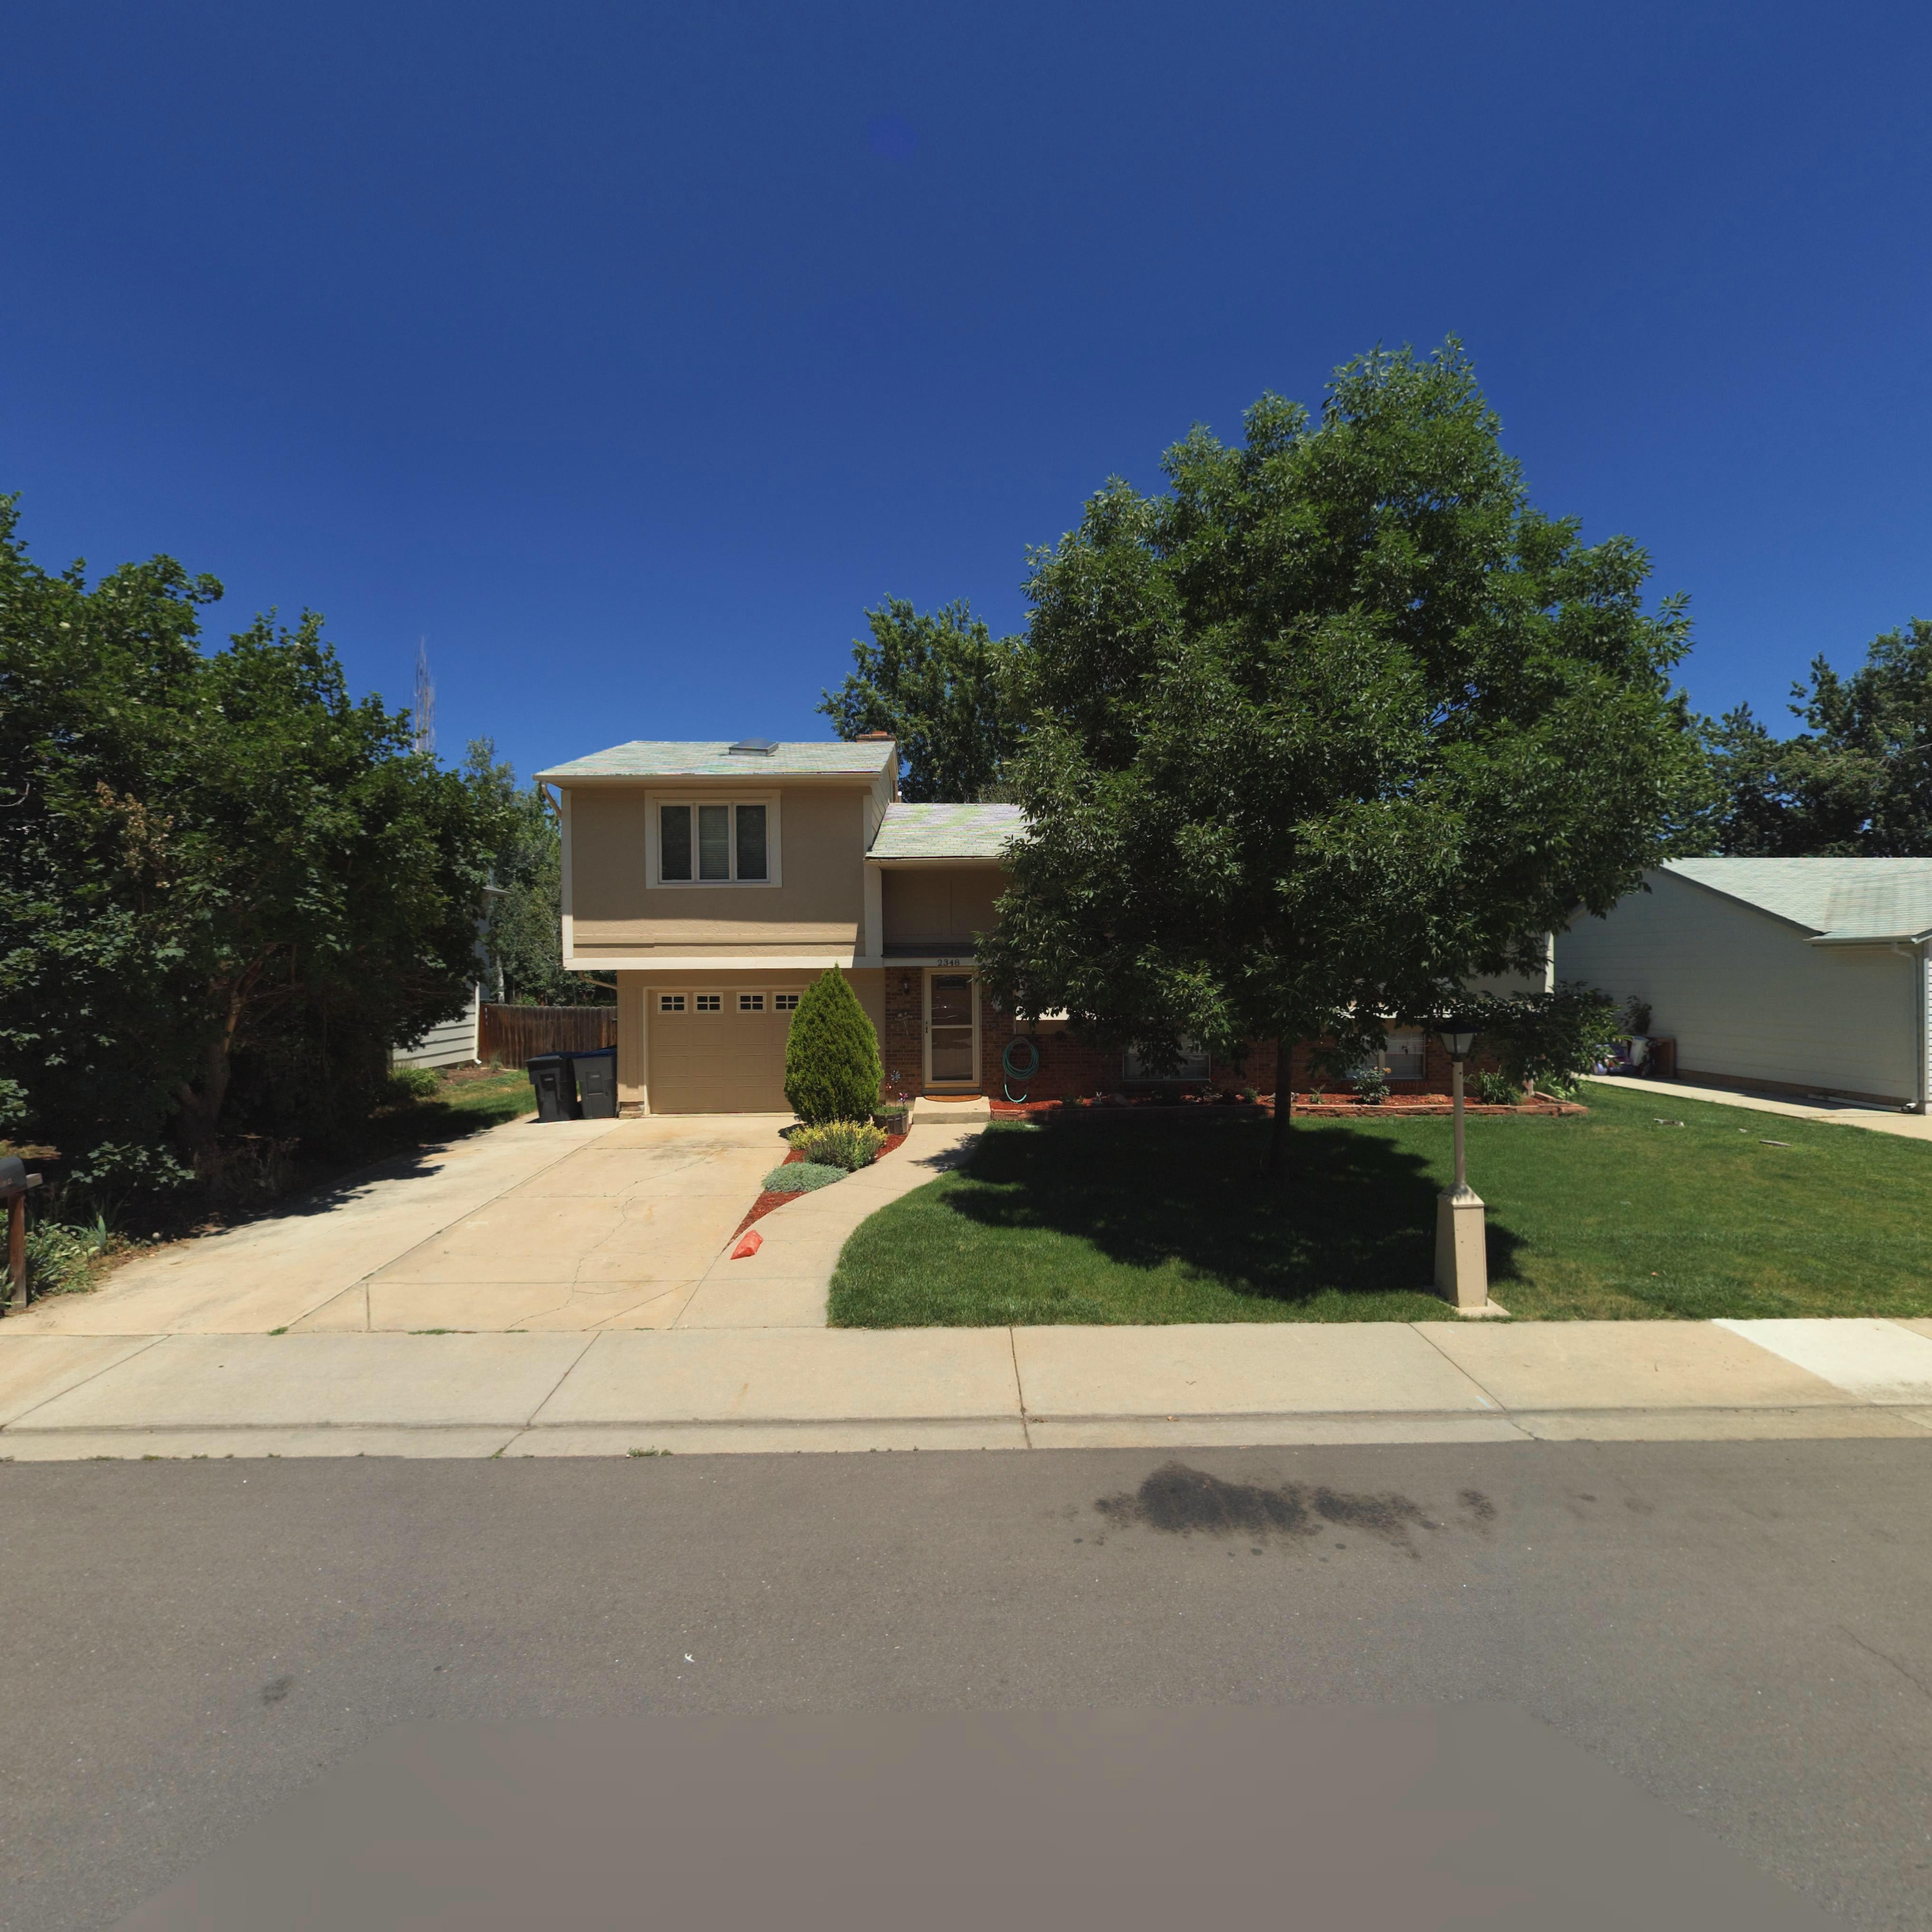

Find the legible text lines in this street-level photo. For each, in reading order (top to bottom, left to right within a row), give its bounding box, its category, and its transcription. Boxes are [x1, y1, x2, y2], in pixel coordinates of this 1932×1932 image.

[937, 959, 959, 966] StreetNumber: 2348